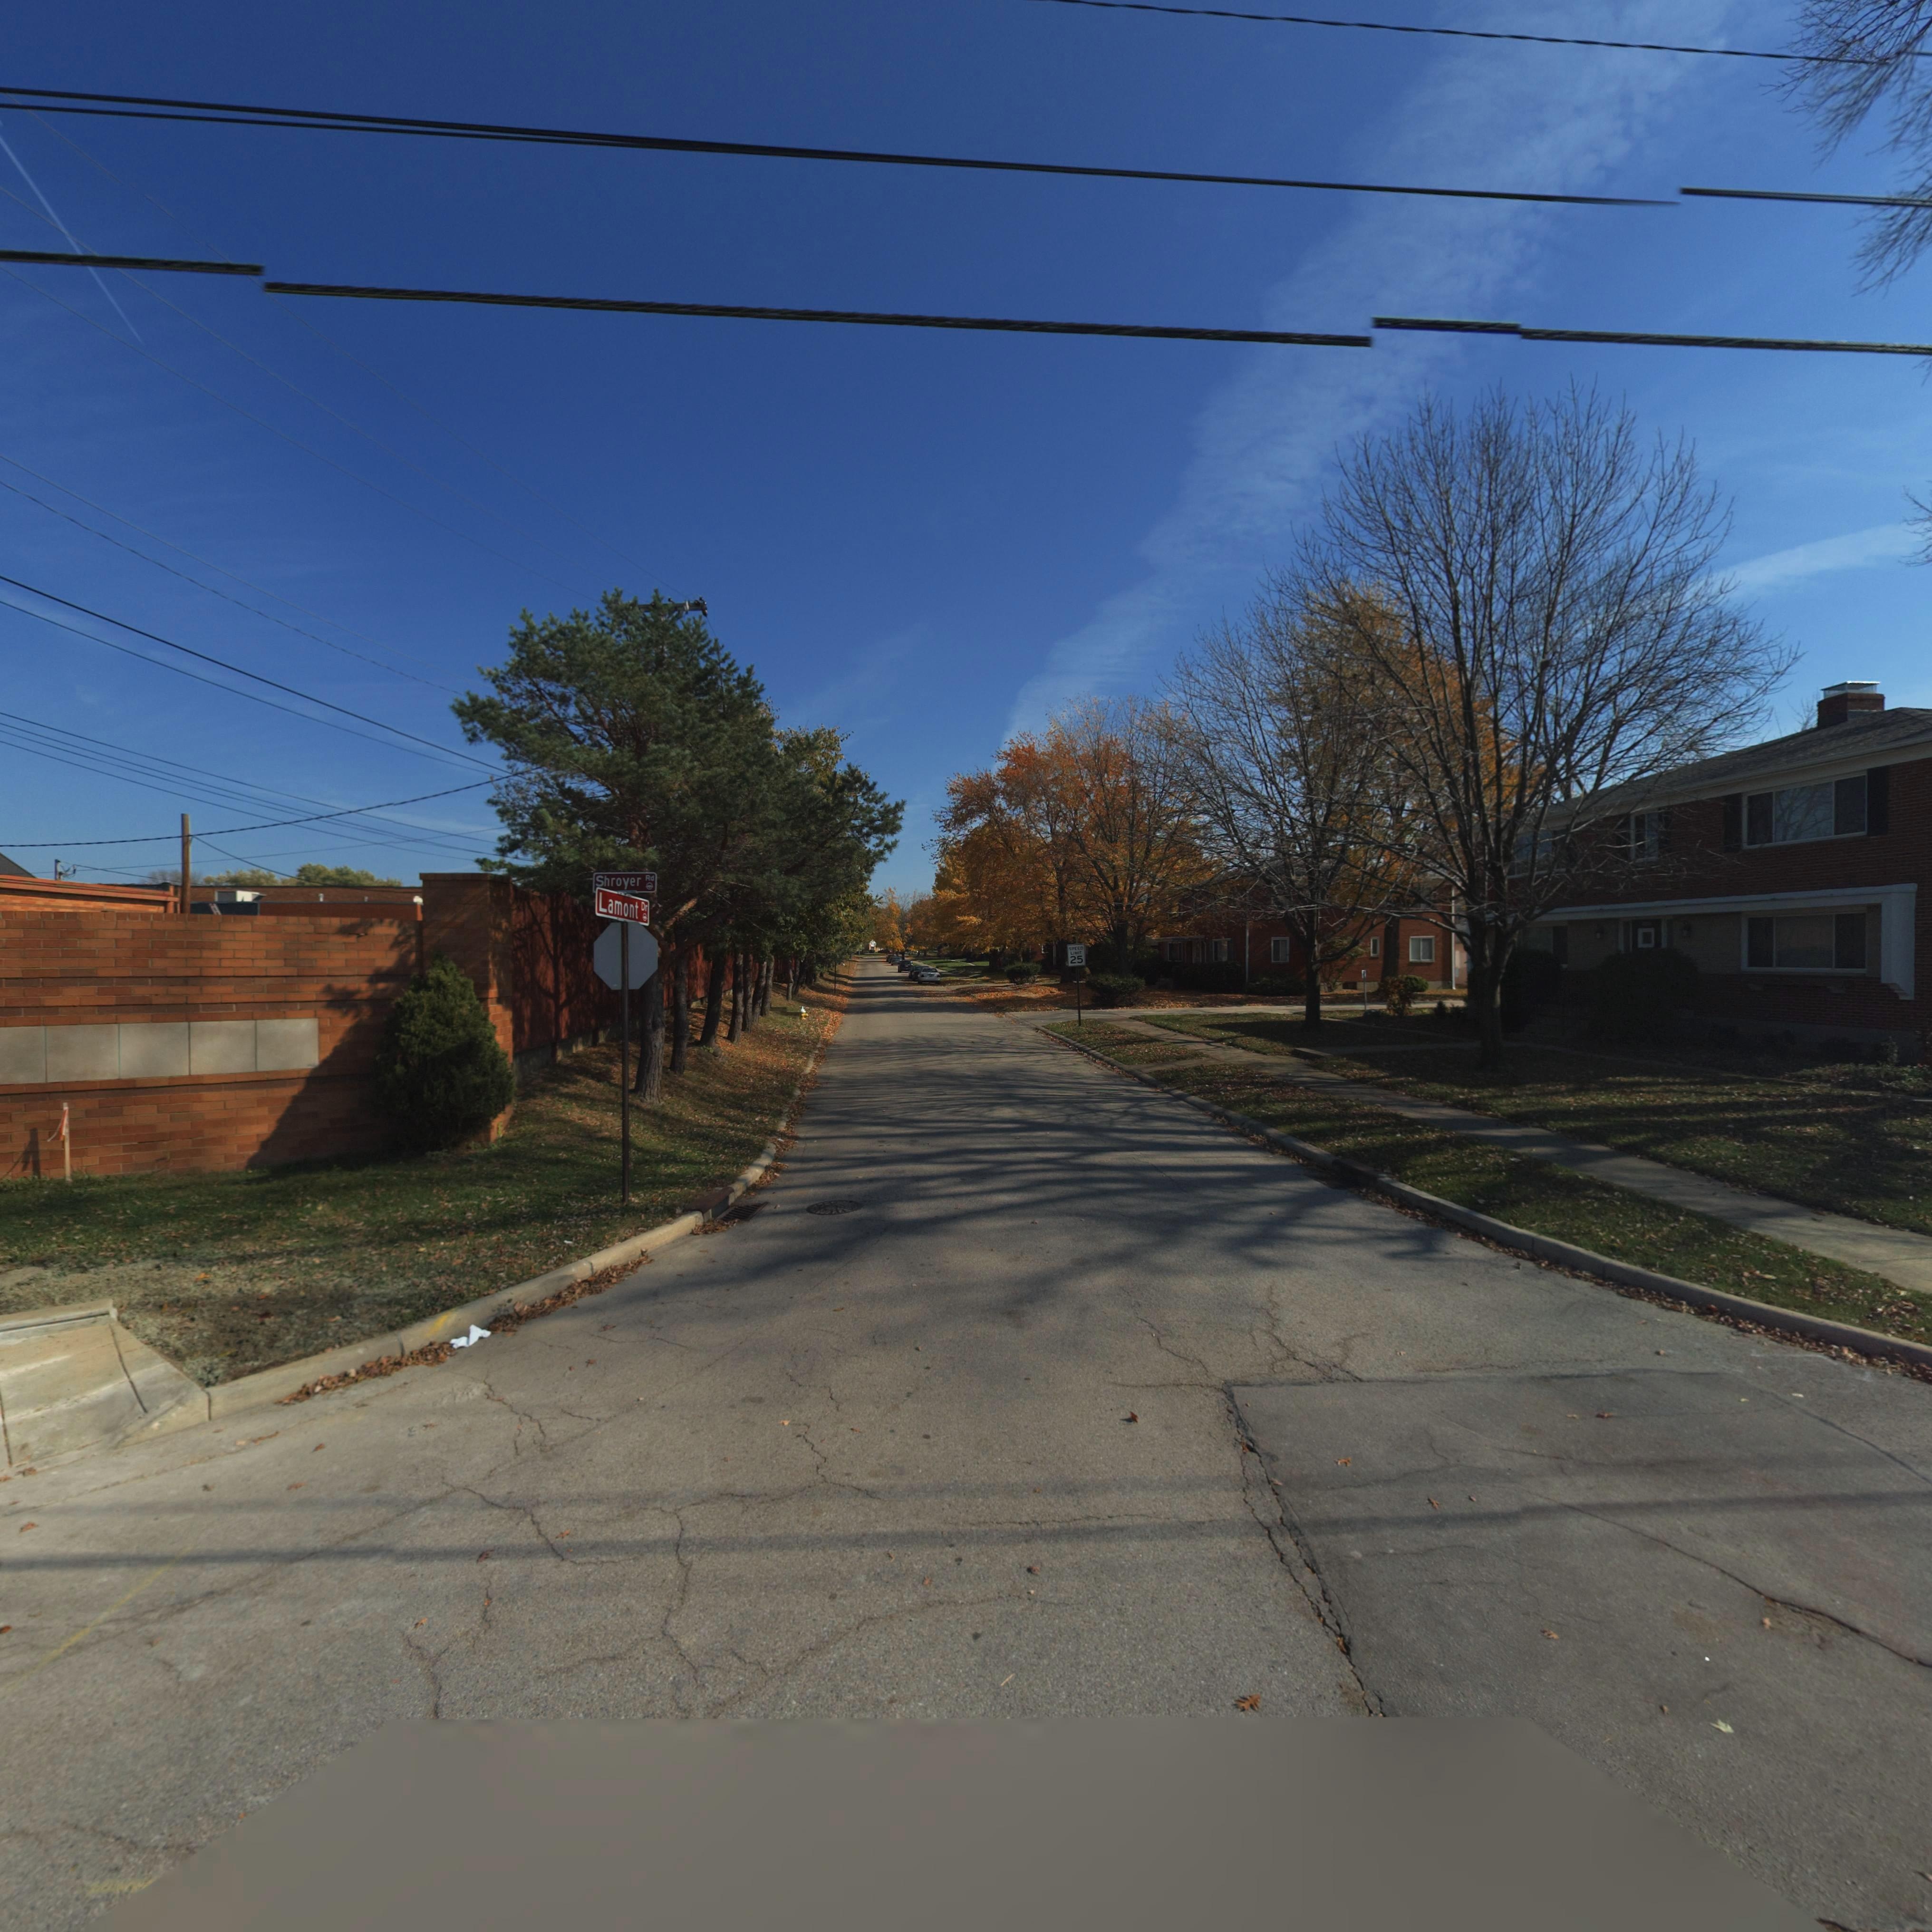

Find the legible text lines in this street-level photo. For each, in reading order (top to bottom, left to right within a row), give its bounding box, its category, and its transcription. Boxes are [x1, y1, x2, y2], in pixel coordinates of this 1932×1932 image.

[595, 874, 655, 890] StreetName: Shroyer Rd
[598, 891, 648, 920] StreetName: Lamont Dr
[1068, 946, 1083, 951] None: SP*ED
[1070, 950, 1082, 955] None: LIMIT
[1069, 955, 1083, 964] None: 25